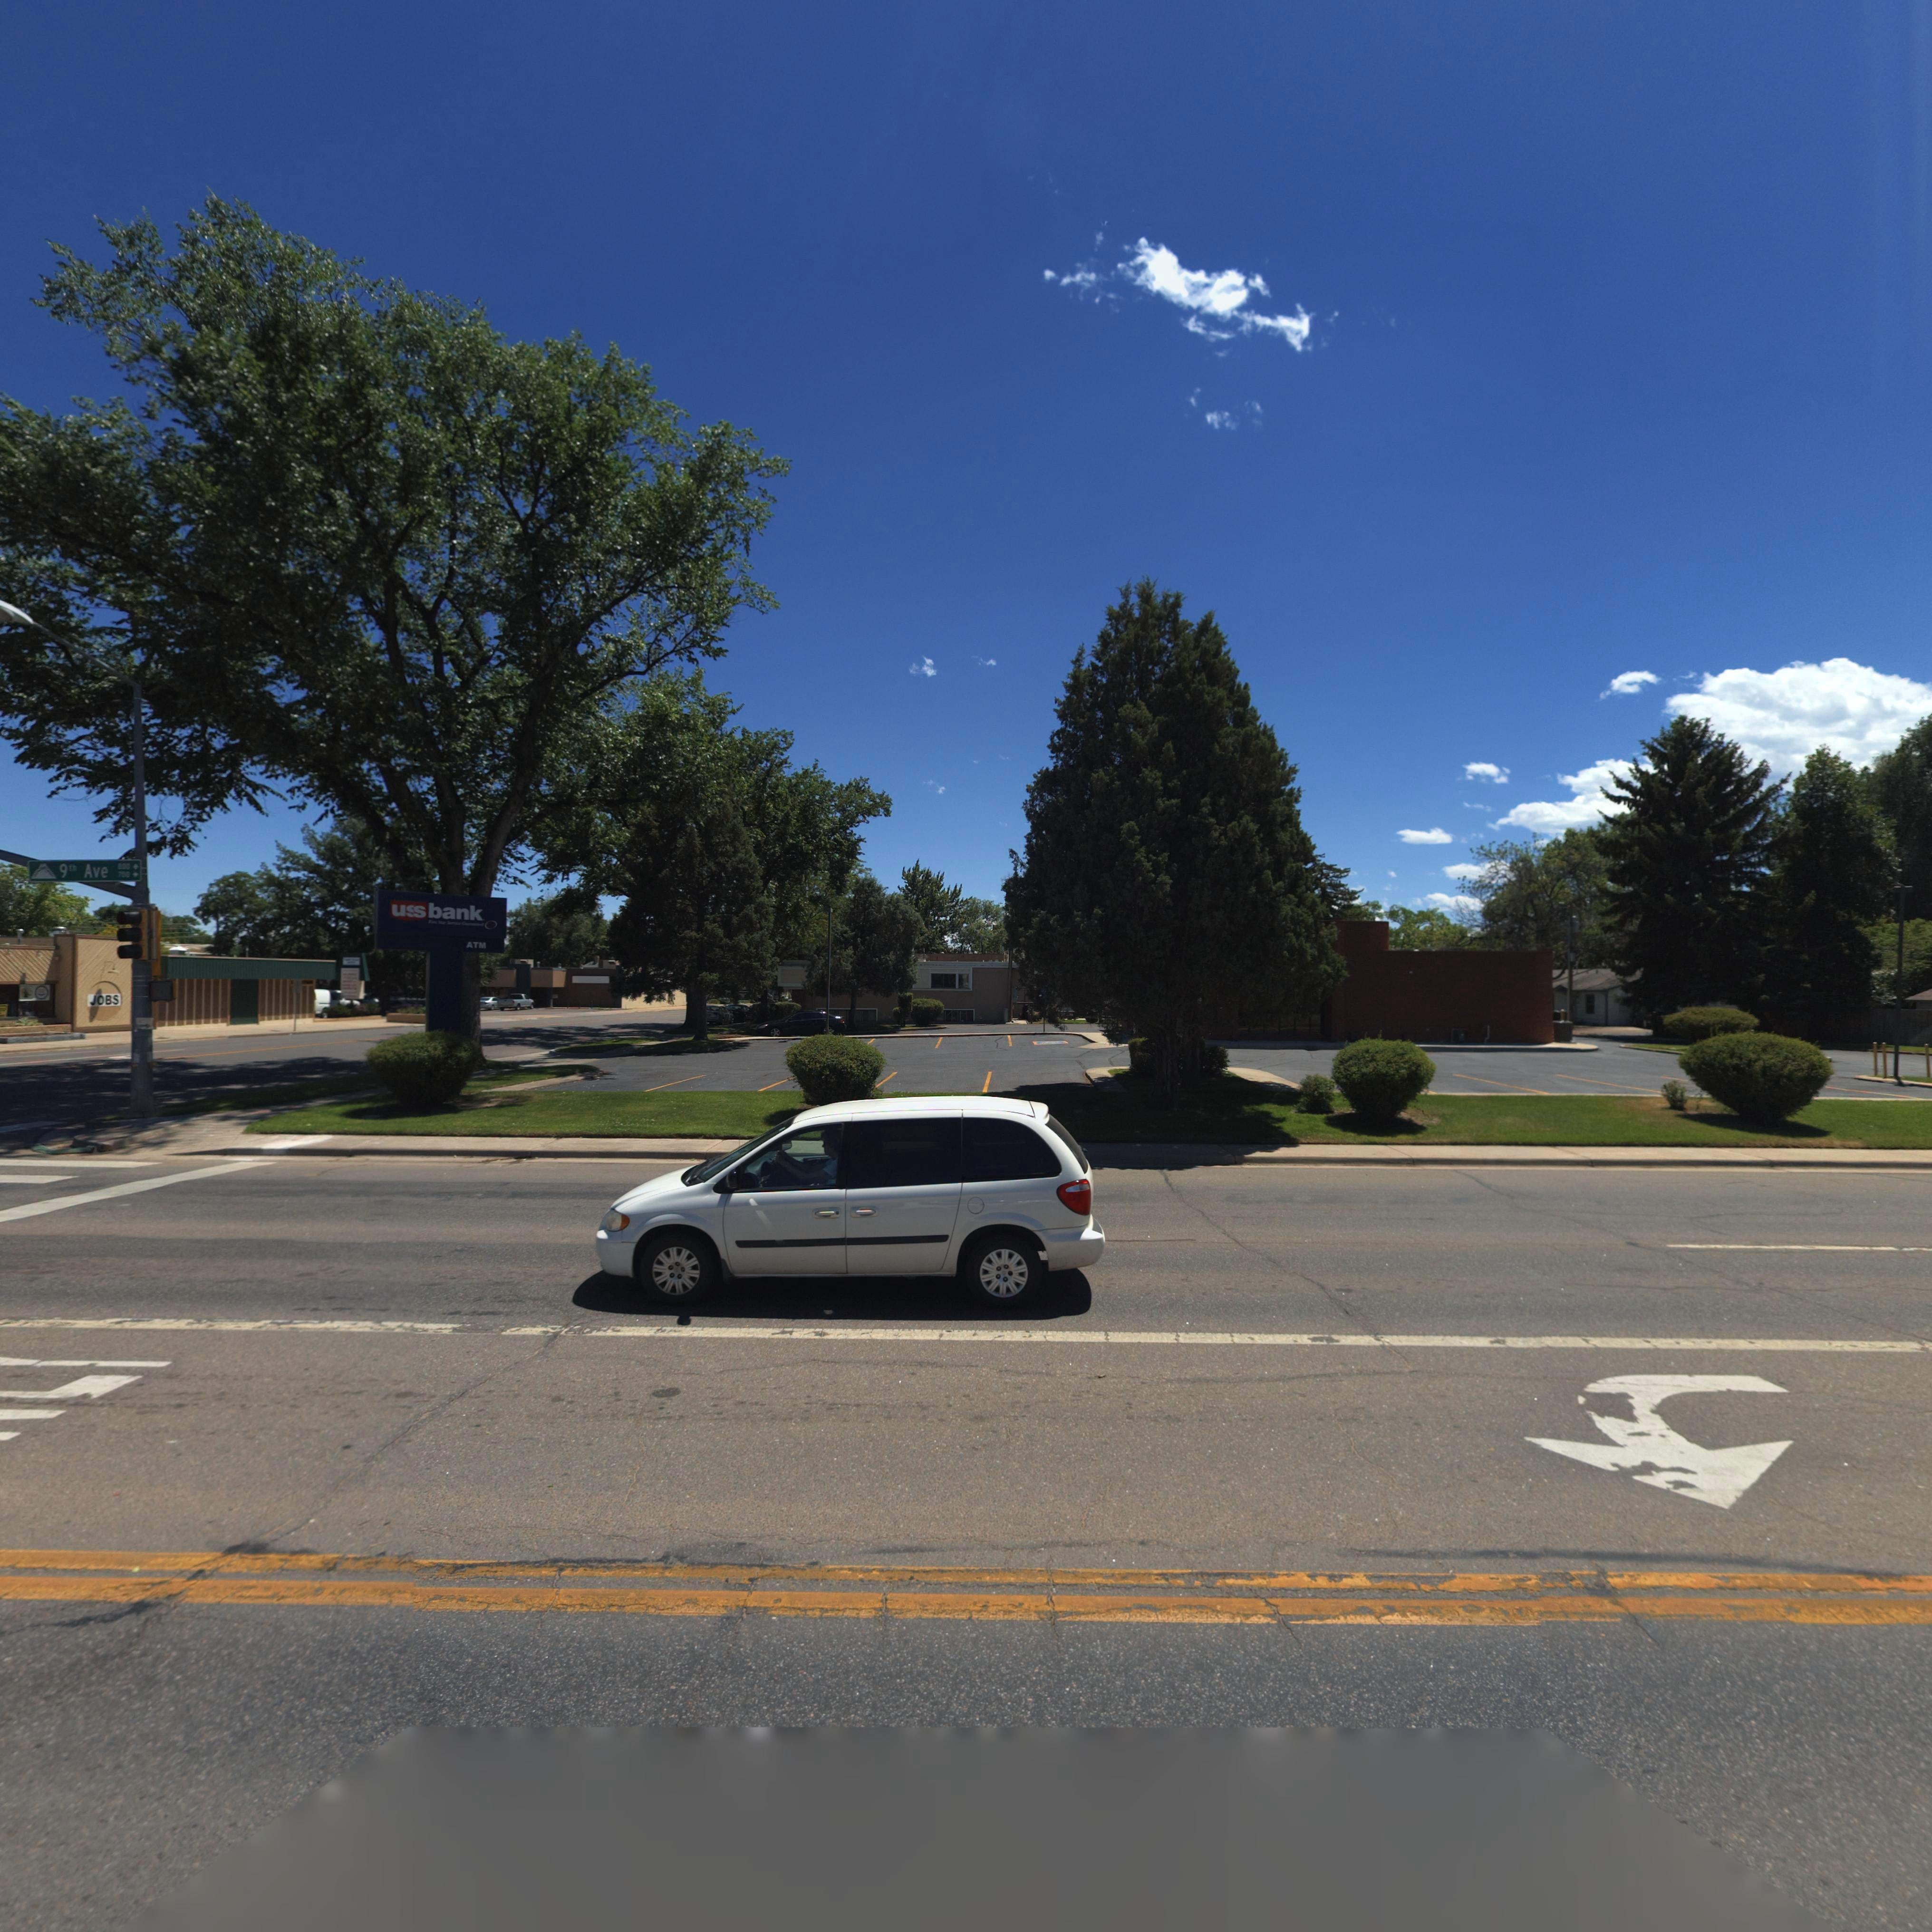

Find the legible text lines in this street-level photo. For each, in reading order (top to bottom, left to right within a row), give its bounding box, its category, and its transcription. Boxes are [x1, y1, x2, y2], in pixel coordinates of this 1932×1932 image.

[58, 862, 108, 879] StreetName: 9th Ave
[117, 862, 130, 870] StreetNumberRange: 800
[117, 871, 139, 878] StreetNumberRange: 700 ->
[391, 901, 484, 922] BusinessName: u*sbank